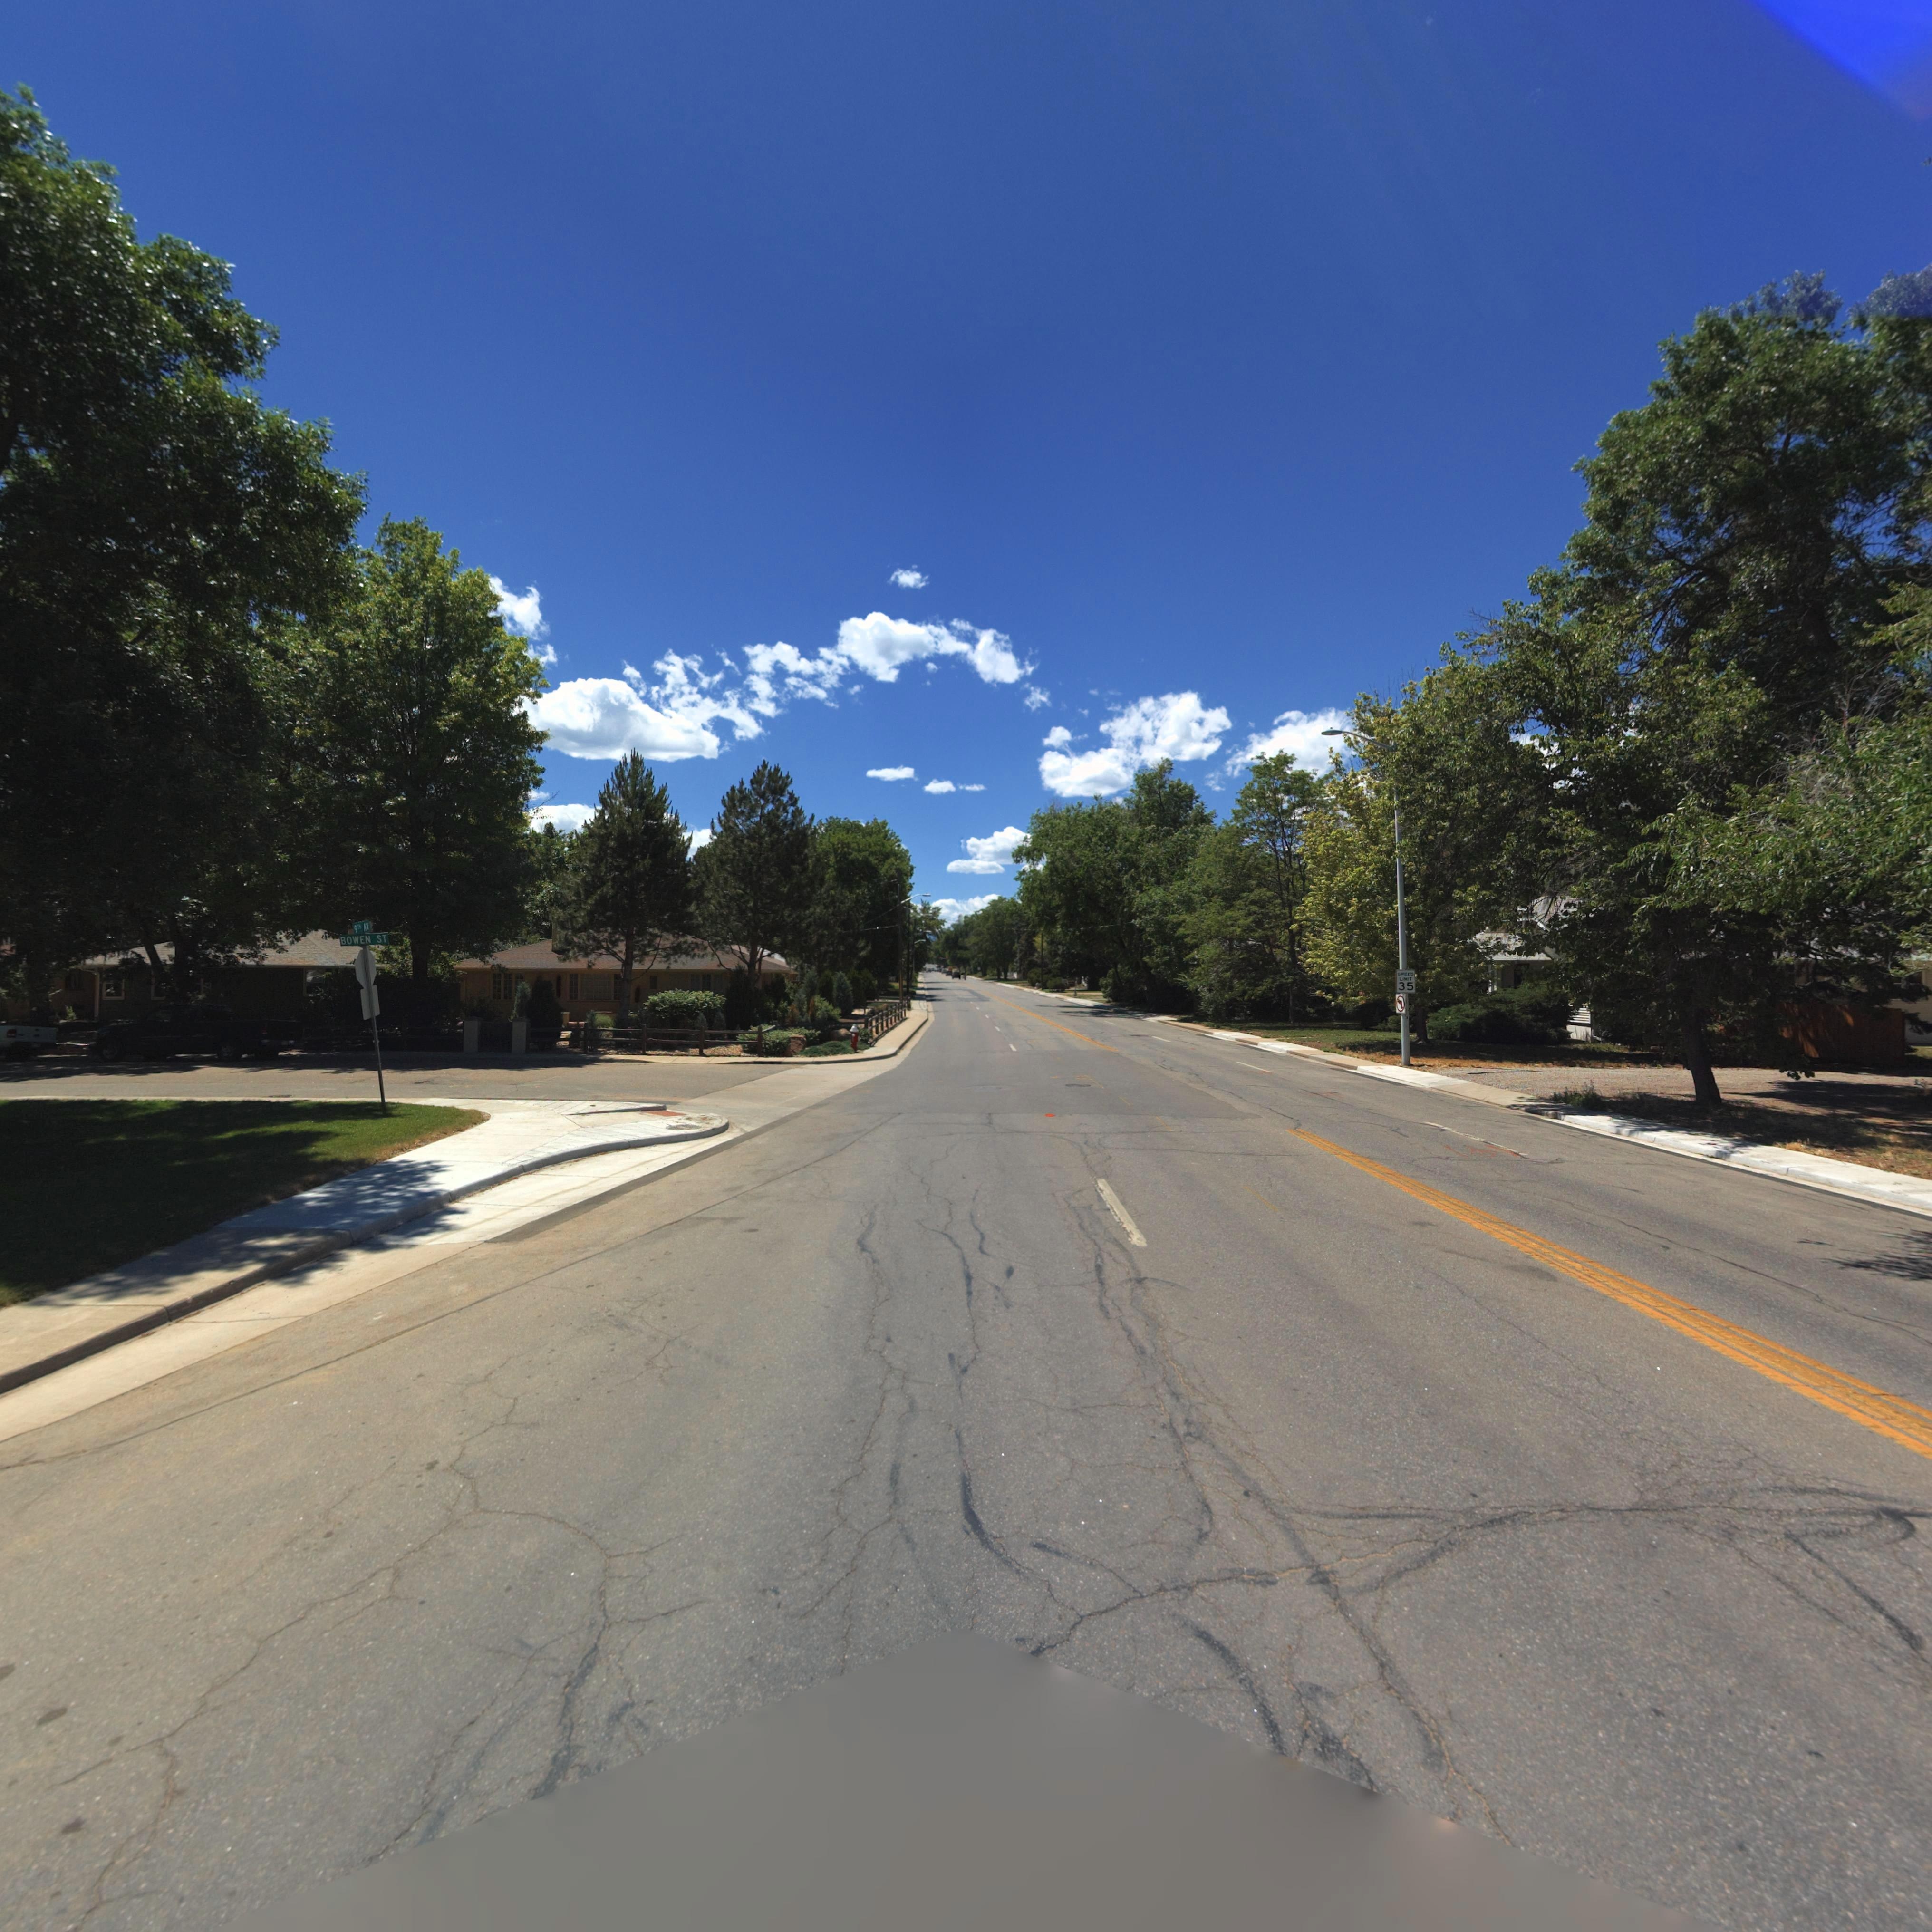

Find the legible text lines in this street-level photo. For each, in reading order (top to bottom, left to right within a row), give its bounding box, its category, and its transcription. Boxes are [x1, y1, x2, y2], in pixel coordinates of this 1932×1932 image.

[354, 922, 368, 933] StreetName: 9TH AV
[340, 934, 386, 945] StreetName: BOWEN ST